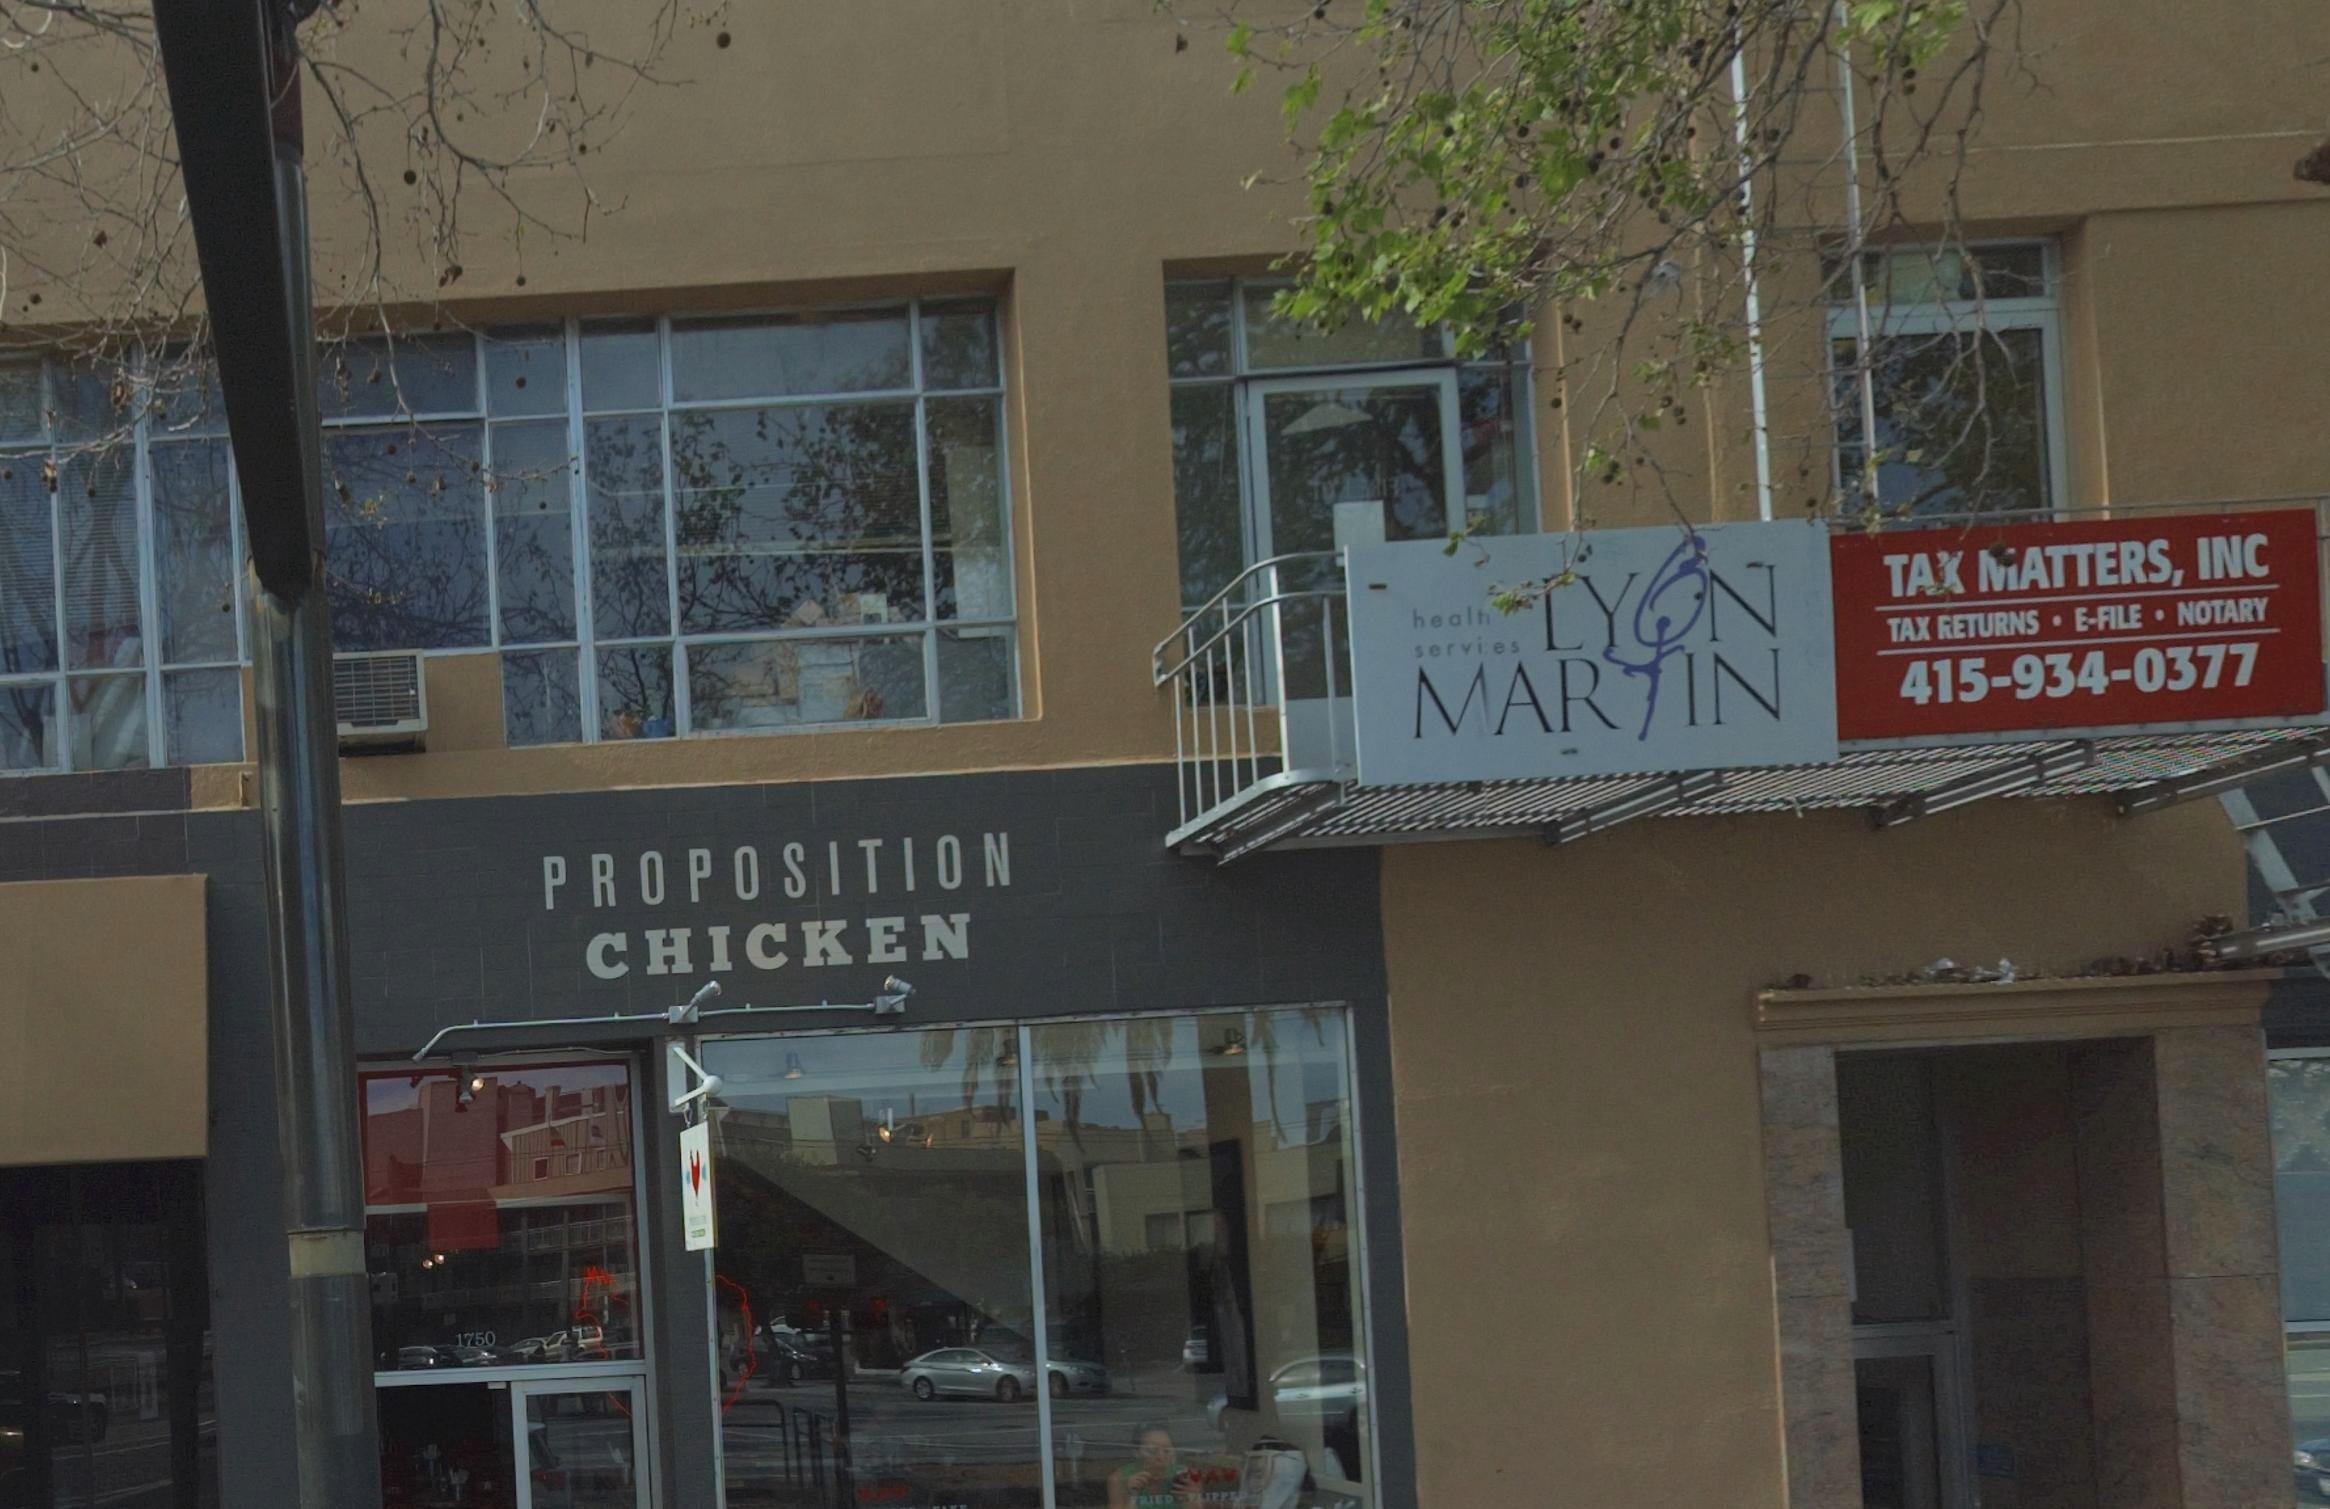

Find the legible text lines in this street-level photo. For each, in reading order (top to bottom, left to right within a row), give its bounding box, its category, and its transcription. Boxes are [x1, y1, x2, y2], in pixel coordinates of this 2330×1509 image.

[1368, 473, 1403, 503] None: *I*
[1410, 602, 1495, 633] BusinessName: health
[1411, 632, 1525, 665] BusinessName: service
[1408, 642, 1789, 748] BusinessName: MAR*IN
[1536, 529, 1781, 657] BusinessName: LY*N
[1877, 529, 2275, 602] BusinessName: TA* *ATTERS, INC
[1882, 592, 2274, 648] None: TAX RETURNS * E-FILE * NOTARY
[1896, 638, 2266, 709] None: 415-934-0377
[539, 828, 1015, 914] BusinessName: PROPOSITION
[584, 909, 973, 983] BusinessName: CHICKEN
[453, 1328, 498, 1350] StreetNumber: 1750
[1127, 1487, 1250, 1507] None: FRIED - *LIPPED